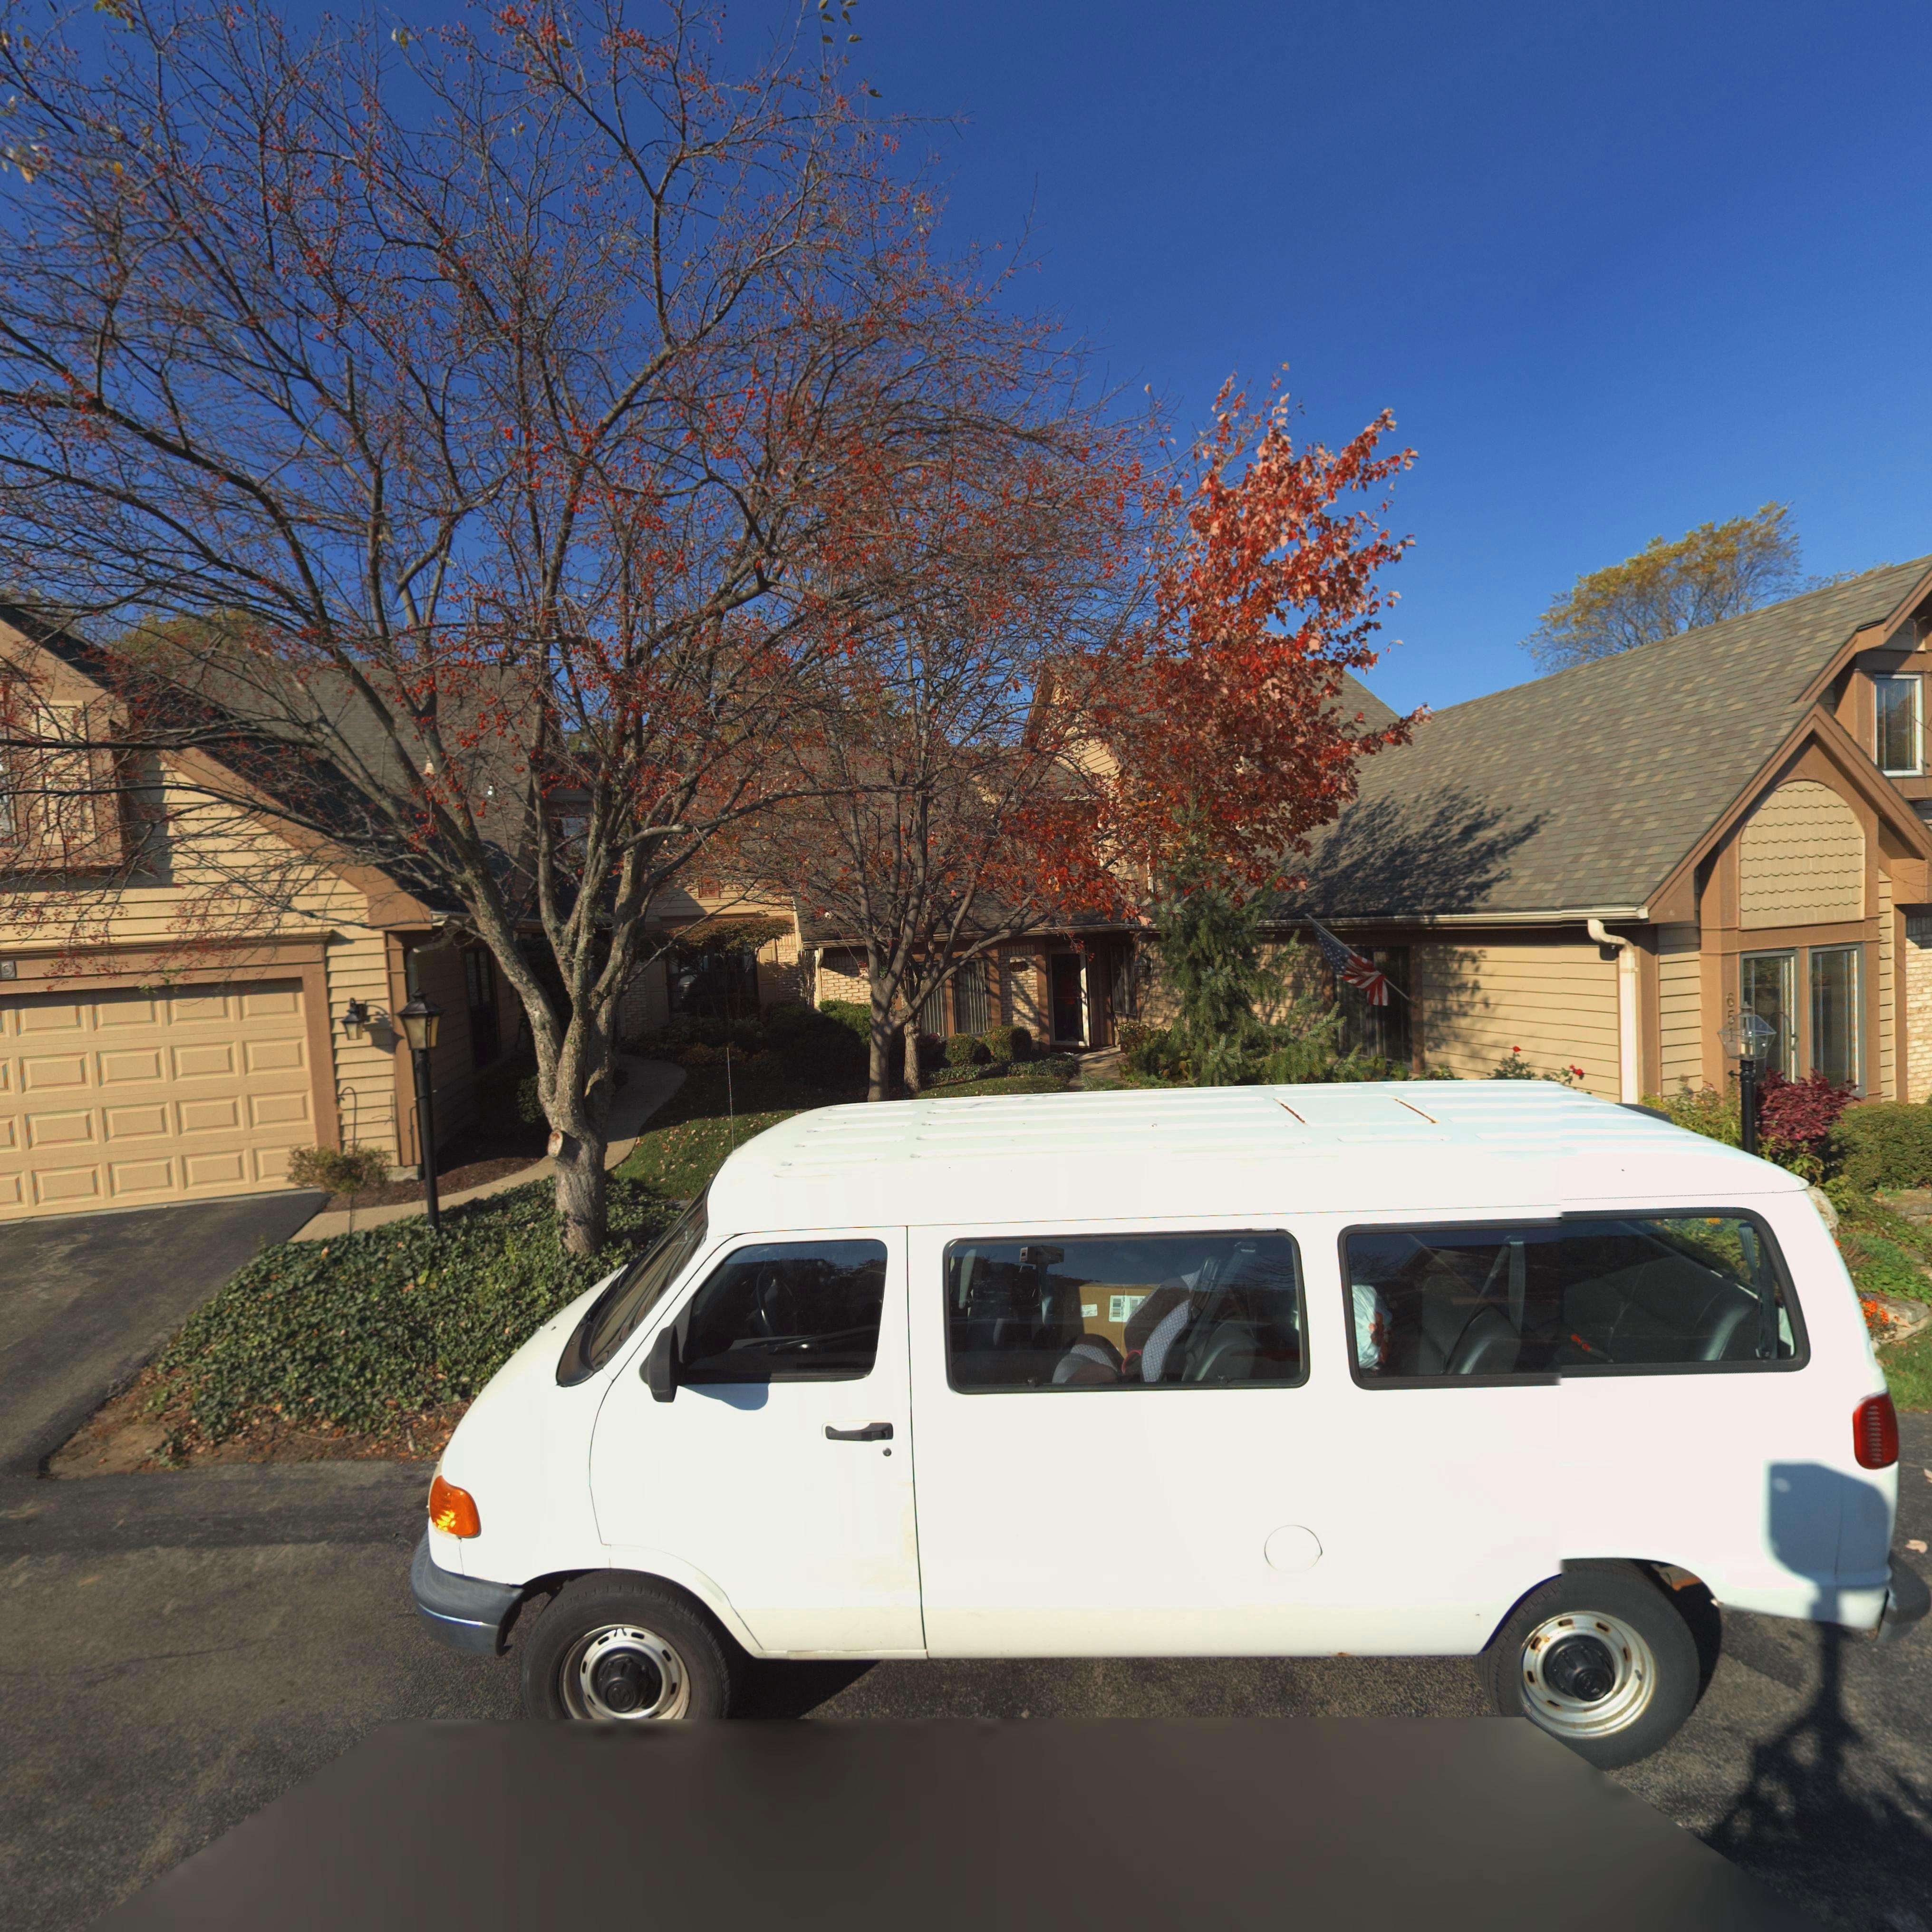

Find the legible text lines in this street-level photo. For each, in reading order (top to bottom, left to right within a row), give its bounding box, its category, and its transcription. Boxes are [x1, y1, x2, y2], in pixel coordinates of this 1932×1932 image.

[1, 963, 14, 976] StreetNumber: 9
[1011, 962, 1026, 971] StreetNumber: 651
[1726, 991, 1736, 1044] StreetNumber: 651